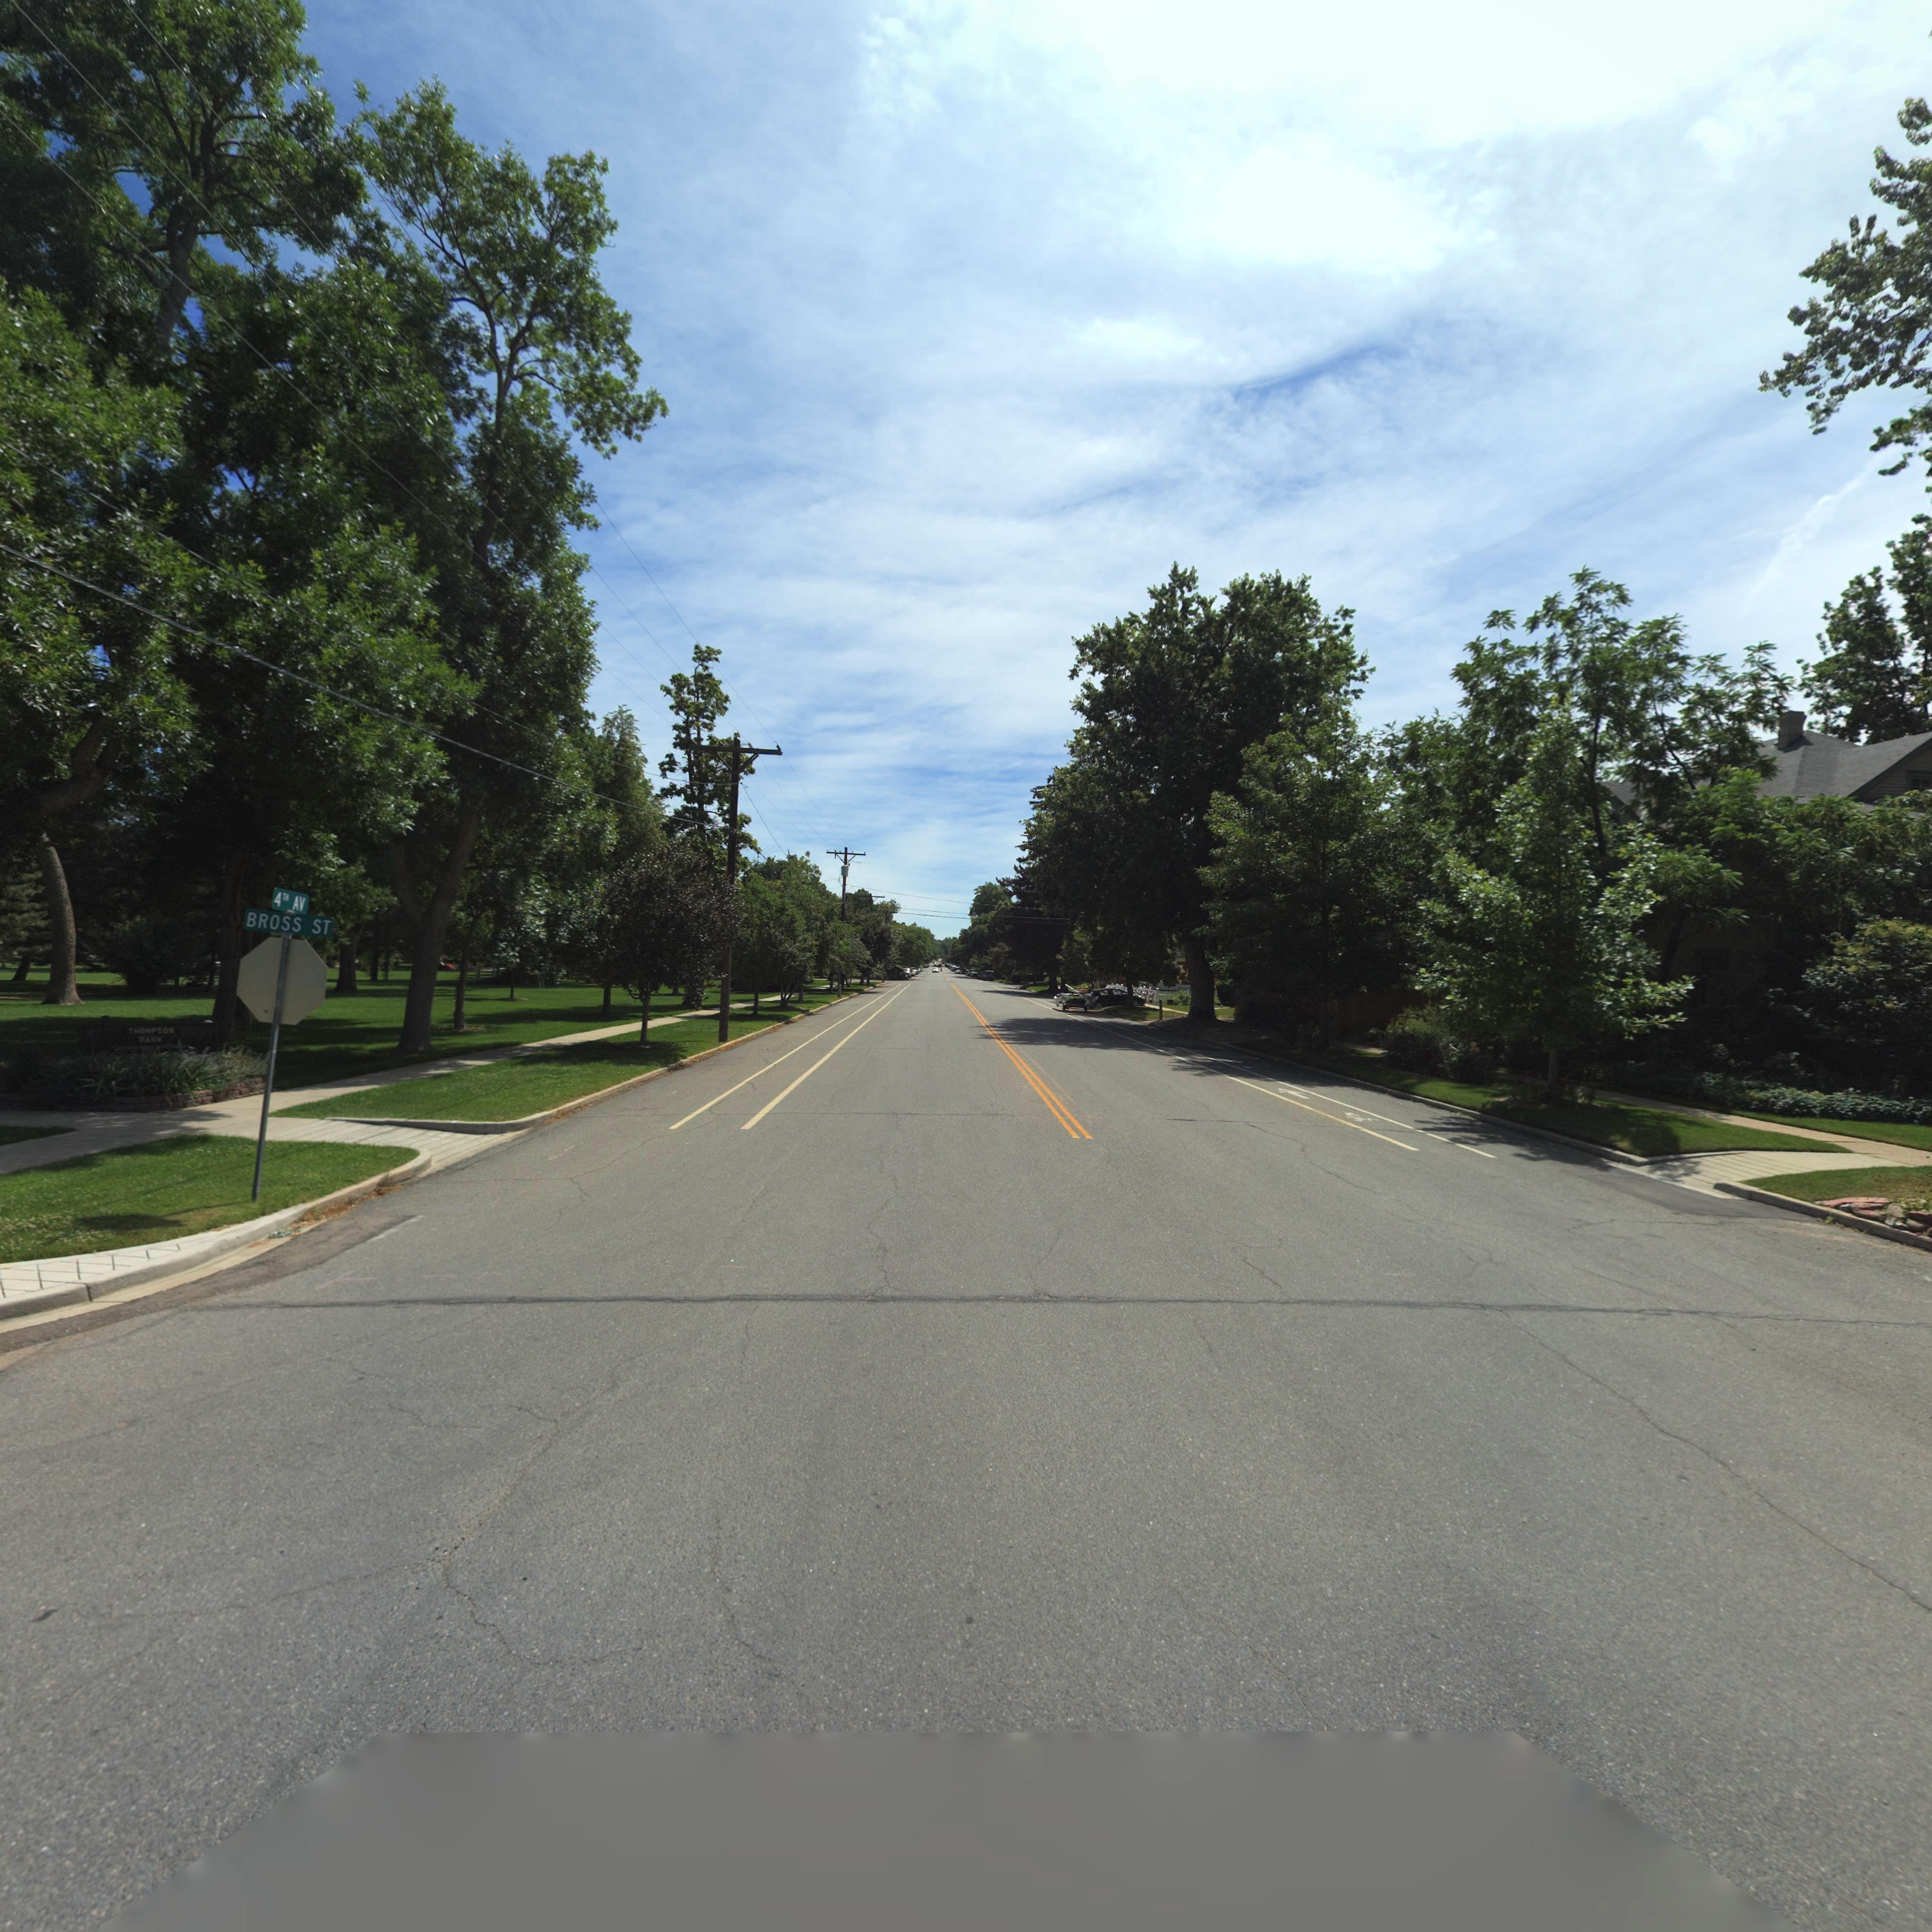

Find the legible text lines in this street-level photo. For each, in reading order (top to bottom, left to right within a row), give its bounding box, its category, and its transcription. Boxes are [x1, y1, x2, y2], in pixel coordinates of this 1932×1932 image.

[273, 891, 307, 912] StreetName: 4TH AV
[244, 911, 332, 936] StreetName: BROSS ST